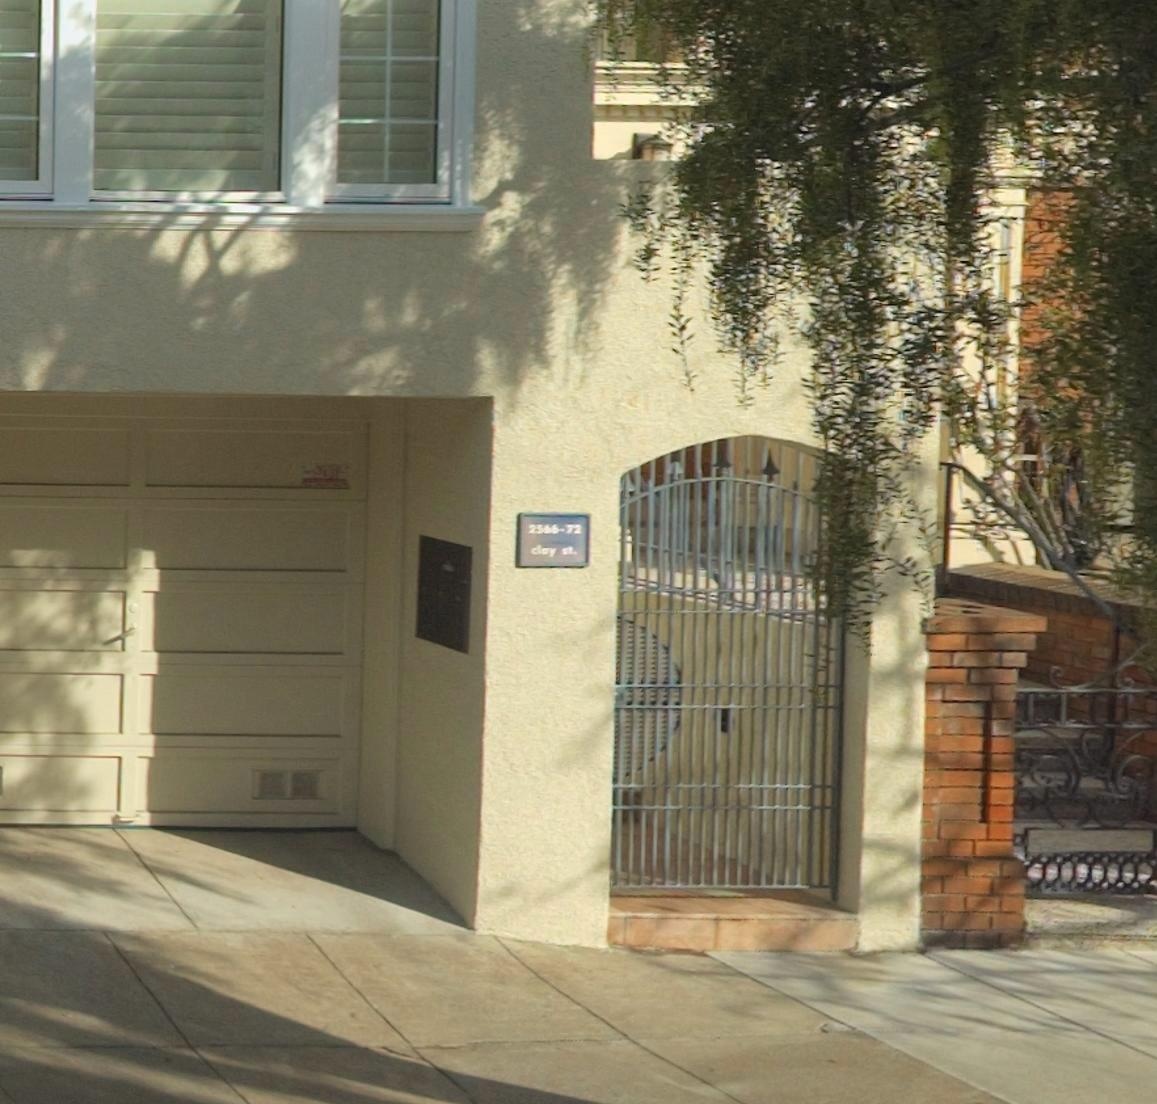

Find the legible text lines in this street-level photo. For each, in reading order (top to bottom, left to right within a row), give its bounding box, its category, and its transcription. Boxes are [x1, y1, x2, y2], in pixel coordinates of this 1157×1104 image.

[526, 522, 584, 536] StreetNumber: 2566-72
[528, 542, 580, 557] StreetName: clay st.